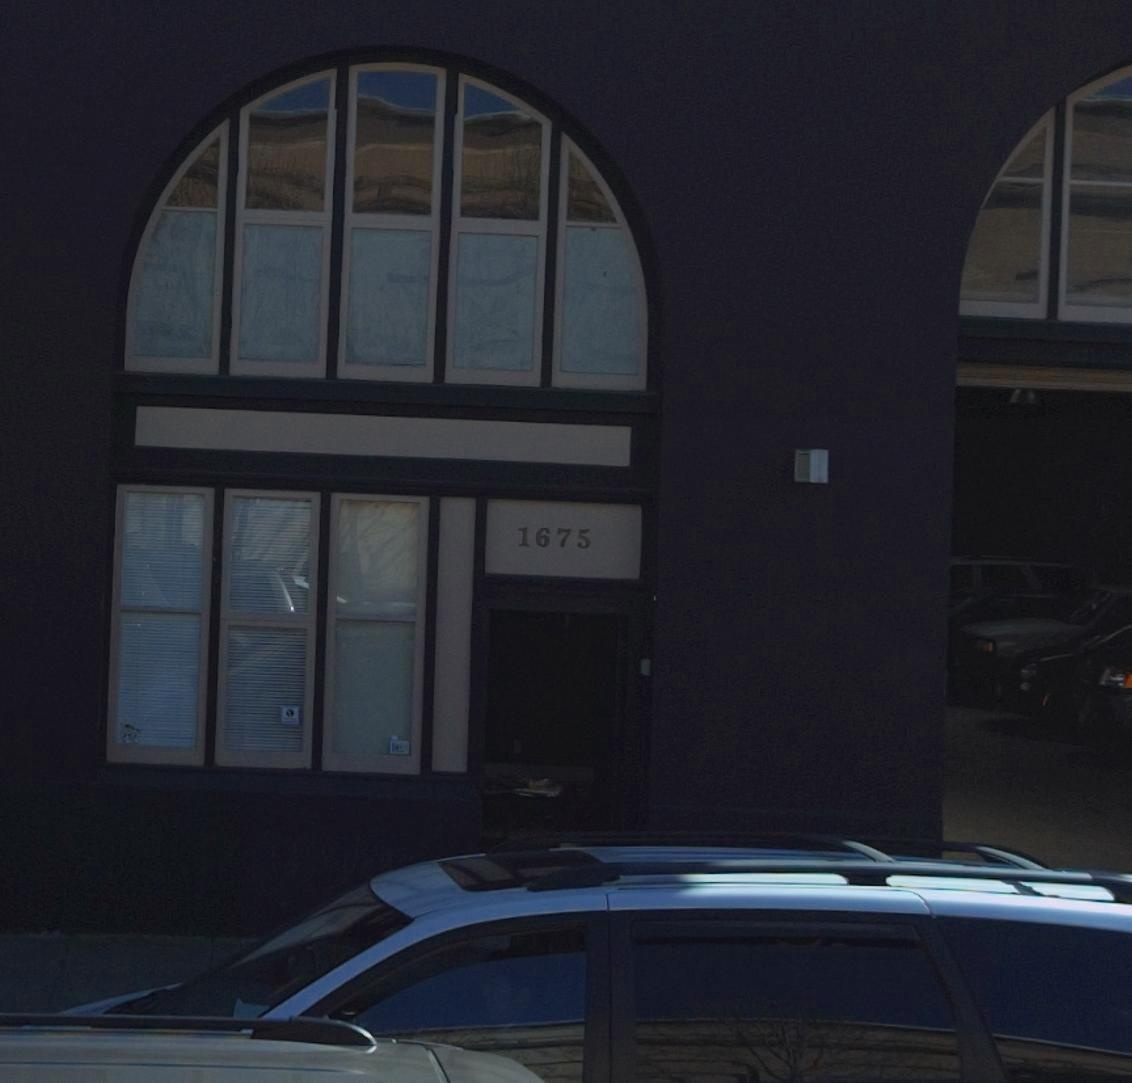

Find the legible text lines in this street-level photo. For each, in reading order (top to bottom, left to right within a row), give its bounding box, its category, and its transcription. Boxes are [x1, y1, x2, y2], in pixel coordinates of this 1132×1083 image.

[515, 525, 593, 550] StreetNumber: 1675